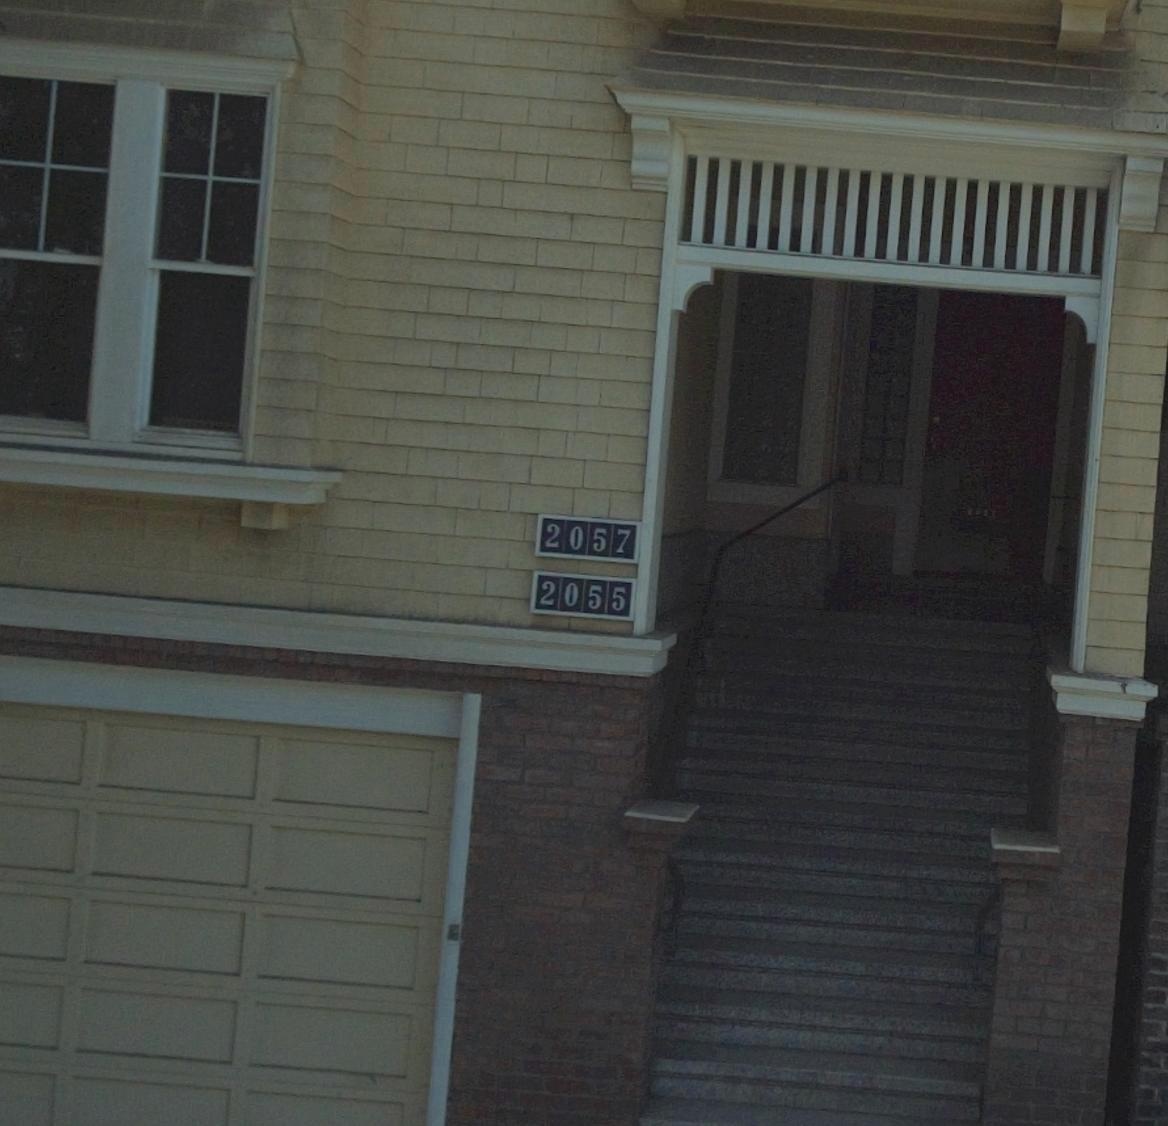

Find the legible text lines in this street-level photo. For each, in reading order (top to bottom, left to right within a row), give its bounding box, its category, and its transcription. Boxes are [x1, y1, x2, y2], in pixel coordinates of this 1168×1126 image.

[544, 522, 632, 555] StreetNumber: 2057
[537, 579, 628, 613] StreetNumber: 2055